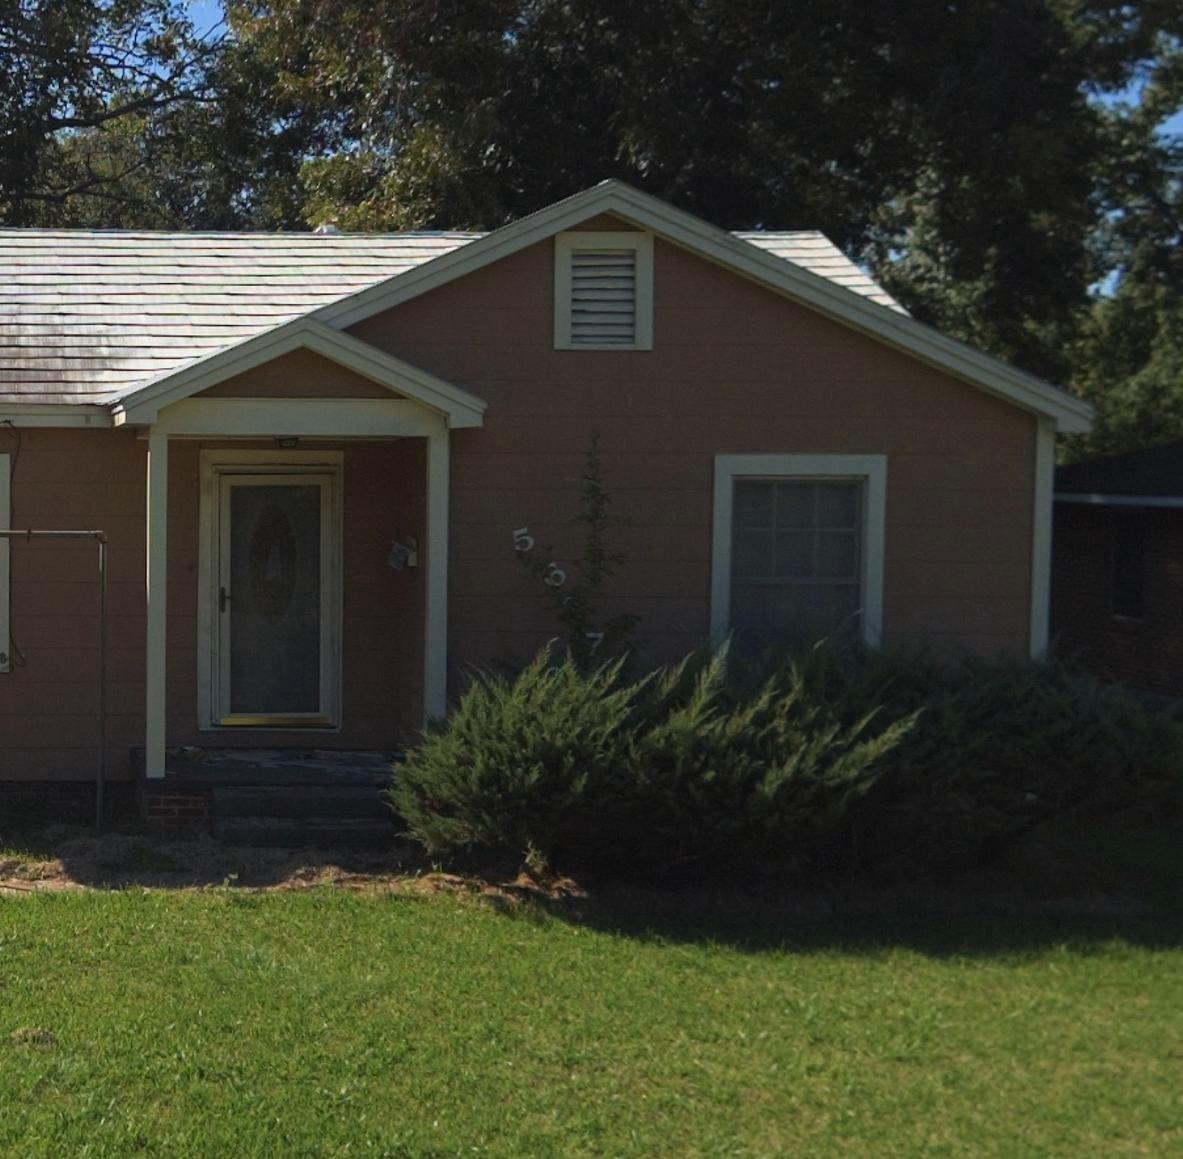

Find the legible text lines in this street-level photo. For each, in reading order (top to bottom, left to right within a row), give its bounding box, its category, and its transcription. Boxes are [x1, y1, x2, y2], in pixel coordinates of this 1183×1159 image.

[511, 525, 606, 659] StreetNumber: 5**7